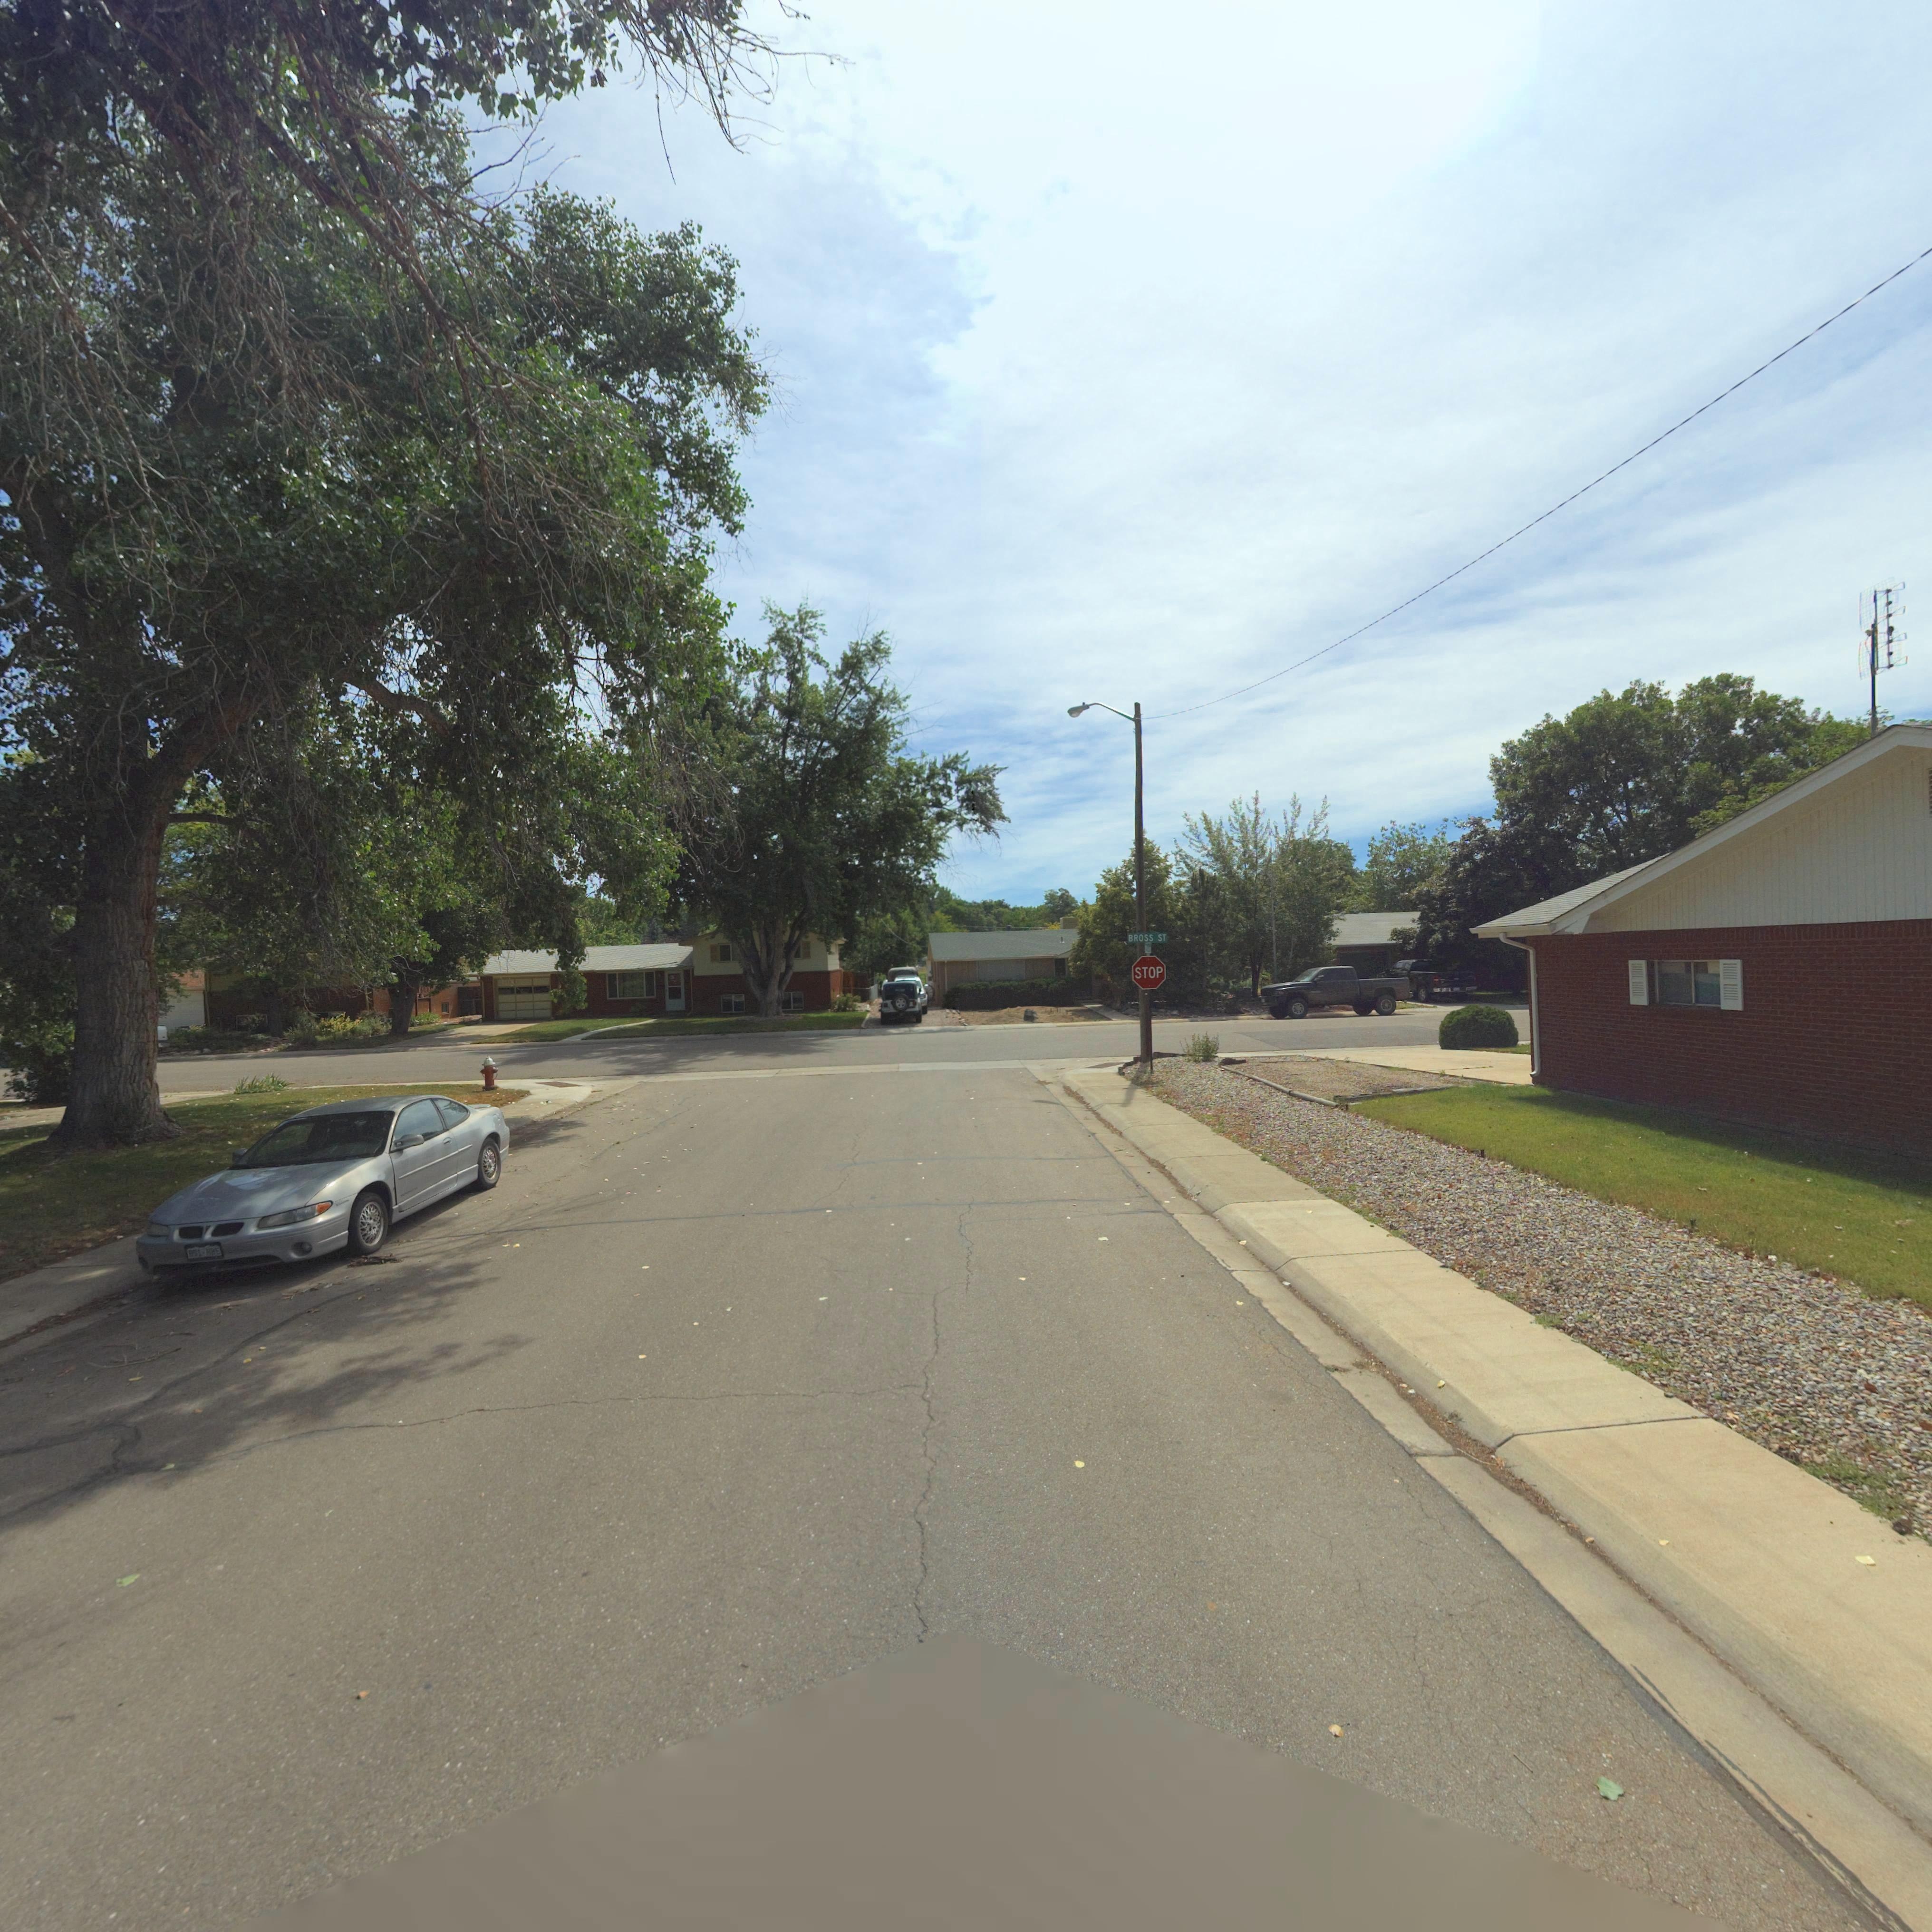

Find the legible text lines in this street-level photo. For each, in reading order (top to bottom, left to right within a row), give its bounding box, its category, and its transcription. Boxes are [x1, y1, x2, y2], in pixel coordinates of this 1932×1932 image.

[1128, 934, 1167, 942] StreetName: BROSS ST